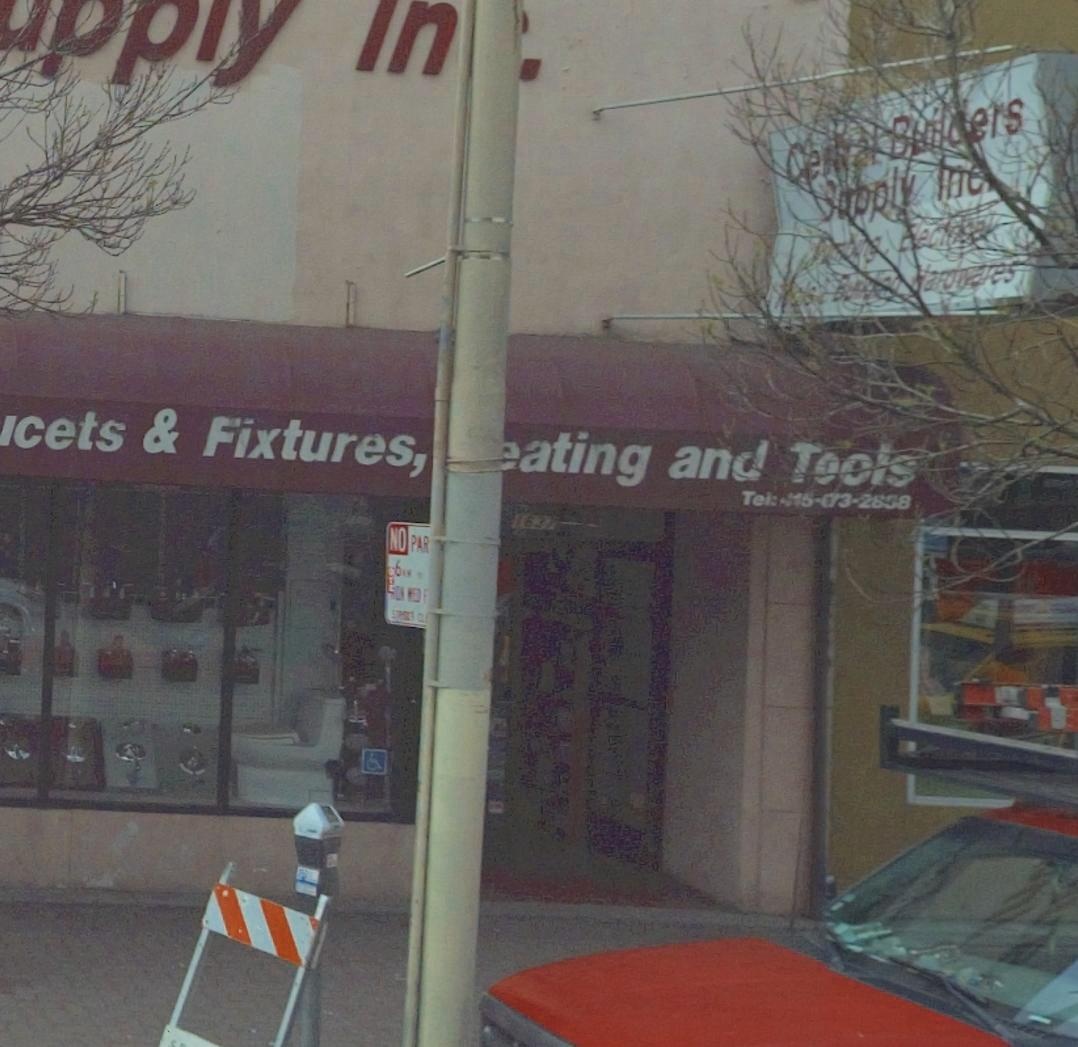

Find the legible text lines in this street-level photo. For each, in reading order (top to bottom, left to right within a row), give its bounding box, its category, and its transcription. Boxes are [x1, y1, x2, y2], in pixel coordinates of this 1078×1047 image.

[383, 0, 462, 82] BusinessName: n
[9, 403, 774, 492] None: cets & Fixtures, **ating an*
[738, 488, 773, 510] None: Tel
[511, 512, 560, 532] StreetNumber: 1637
[387, 524, 426, 556] None: NO PA
[391, 557, 405, 580] None: 6